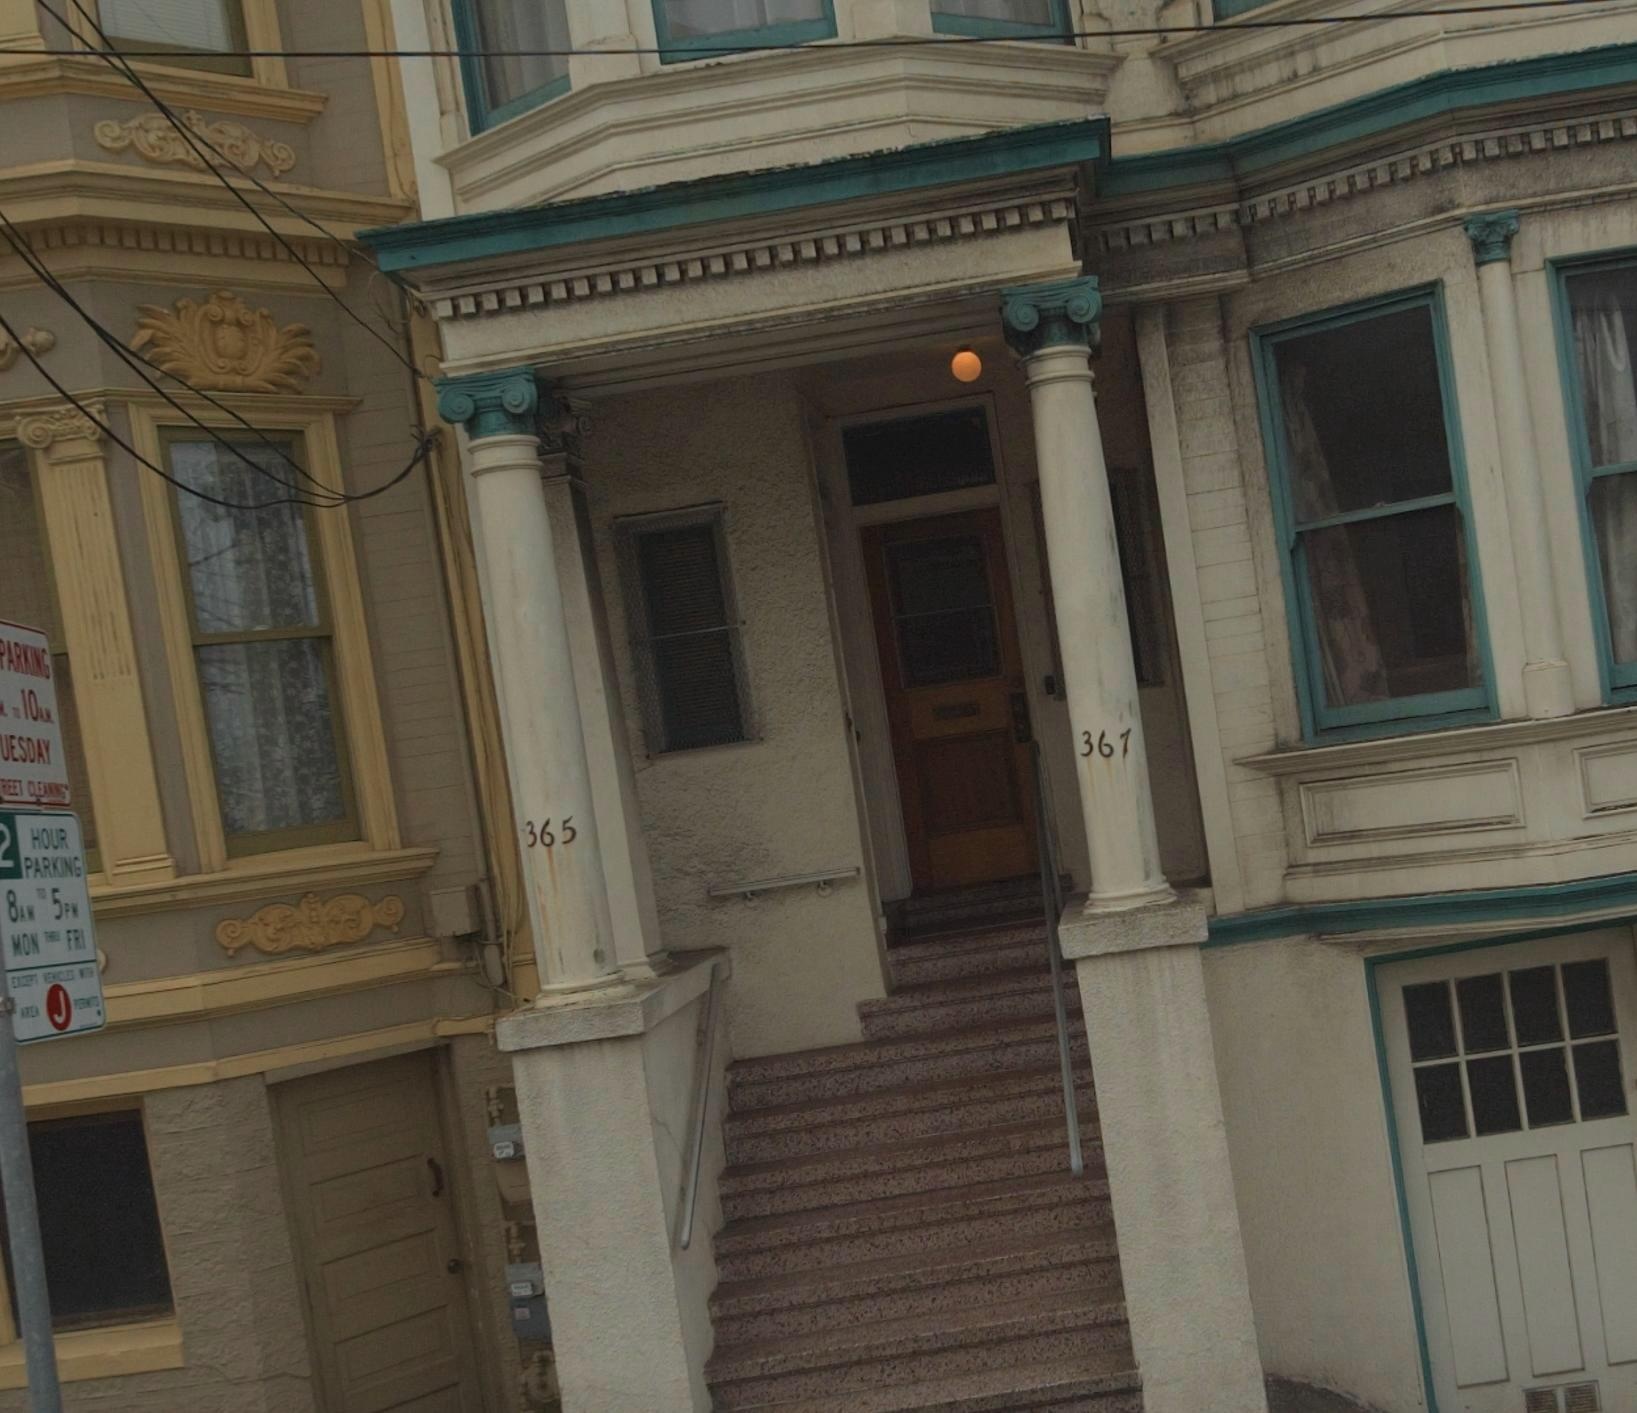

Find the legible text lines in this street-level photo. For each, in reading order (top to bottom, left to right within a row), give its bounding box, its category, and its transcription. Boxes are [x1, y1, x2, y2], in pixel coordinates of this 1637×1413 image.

[5, 638, 52, 682] None: ARKING
[8, 733, 52, 767] None: ESDAY
[1079, 726, 1134, 761] StreetNumber: 361
[4, 778, 68, 798] None: EET CLE*****
[29, 826, 72, 852] None: HOUR
[524, 813, 579, 851] StreetNumber: 365
[22, 854, 84, 881] None: PARKING
[4, 886, 81, 925] None: 8AM TO 5PM
[8, 926, 89, 960] None: MON *** FRI
[51, 986, 68, 1028] None: J